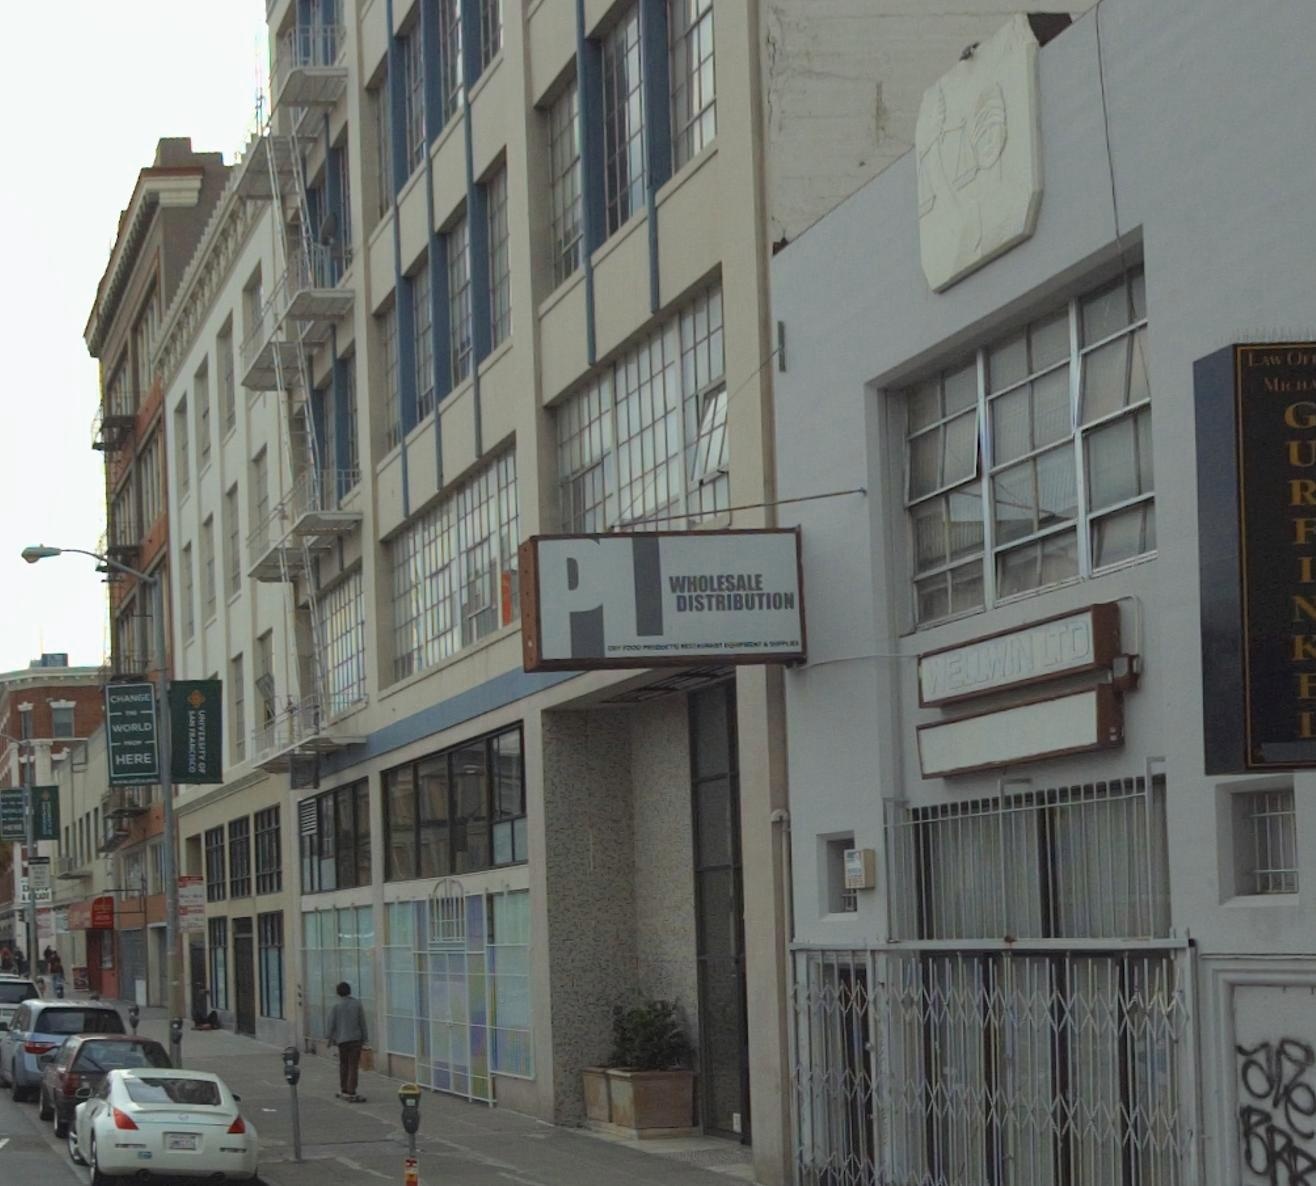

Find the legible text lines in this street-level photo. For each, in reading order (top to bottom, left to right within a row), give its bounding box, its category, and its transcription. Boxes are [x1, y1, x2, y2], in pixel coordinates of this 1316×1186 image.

[1244, 348, 1313, 369] BusinessName: LAW OF
[1258, 373, 1309, 394] BusinessName: MR H
[665, 571, 766, 596] BusinessName: WHOLESALE
[1278, 401, 1316, 744] BusinessName: G**I***I
[535, 535, 612, 662] BusinessName: P
[674, 589, 797, 615] BusinessName: DISTIBUTION
[920, 616, 1093, 699] BusinessName: WELLWIN LTD
[107, 690, 152, 706] None: CHANGE
[108, 719, 155, 736] None: WORLD
[113, 749, 154, 768] None: HERE
[1233, 1031, 1316, 1148] None: a*e
[1239, 1101, 1274, 1180] None: B